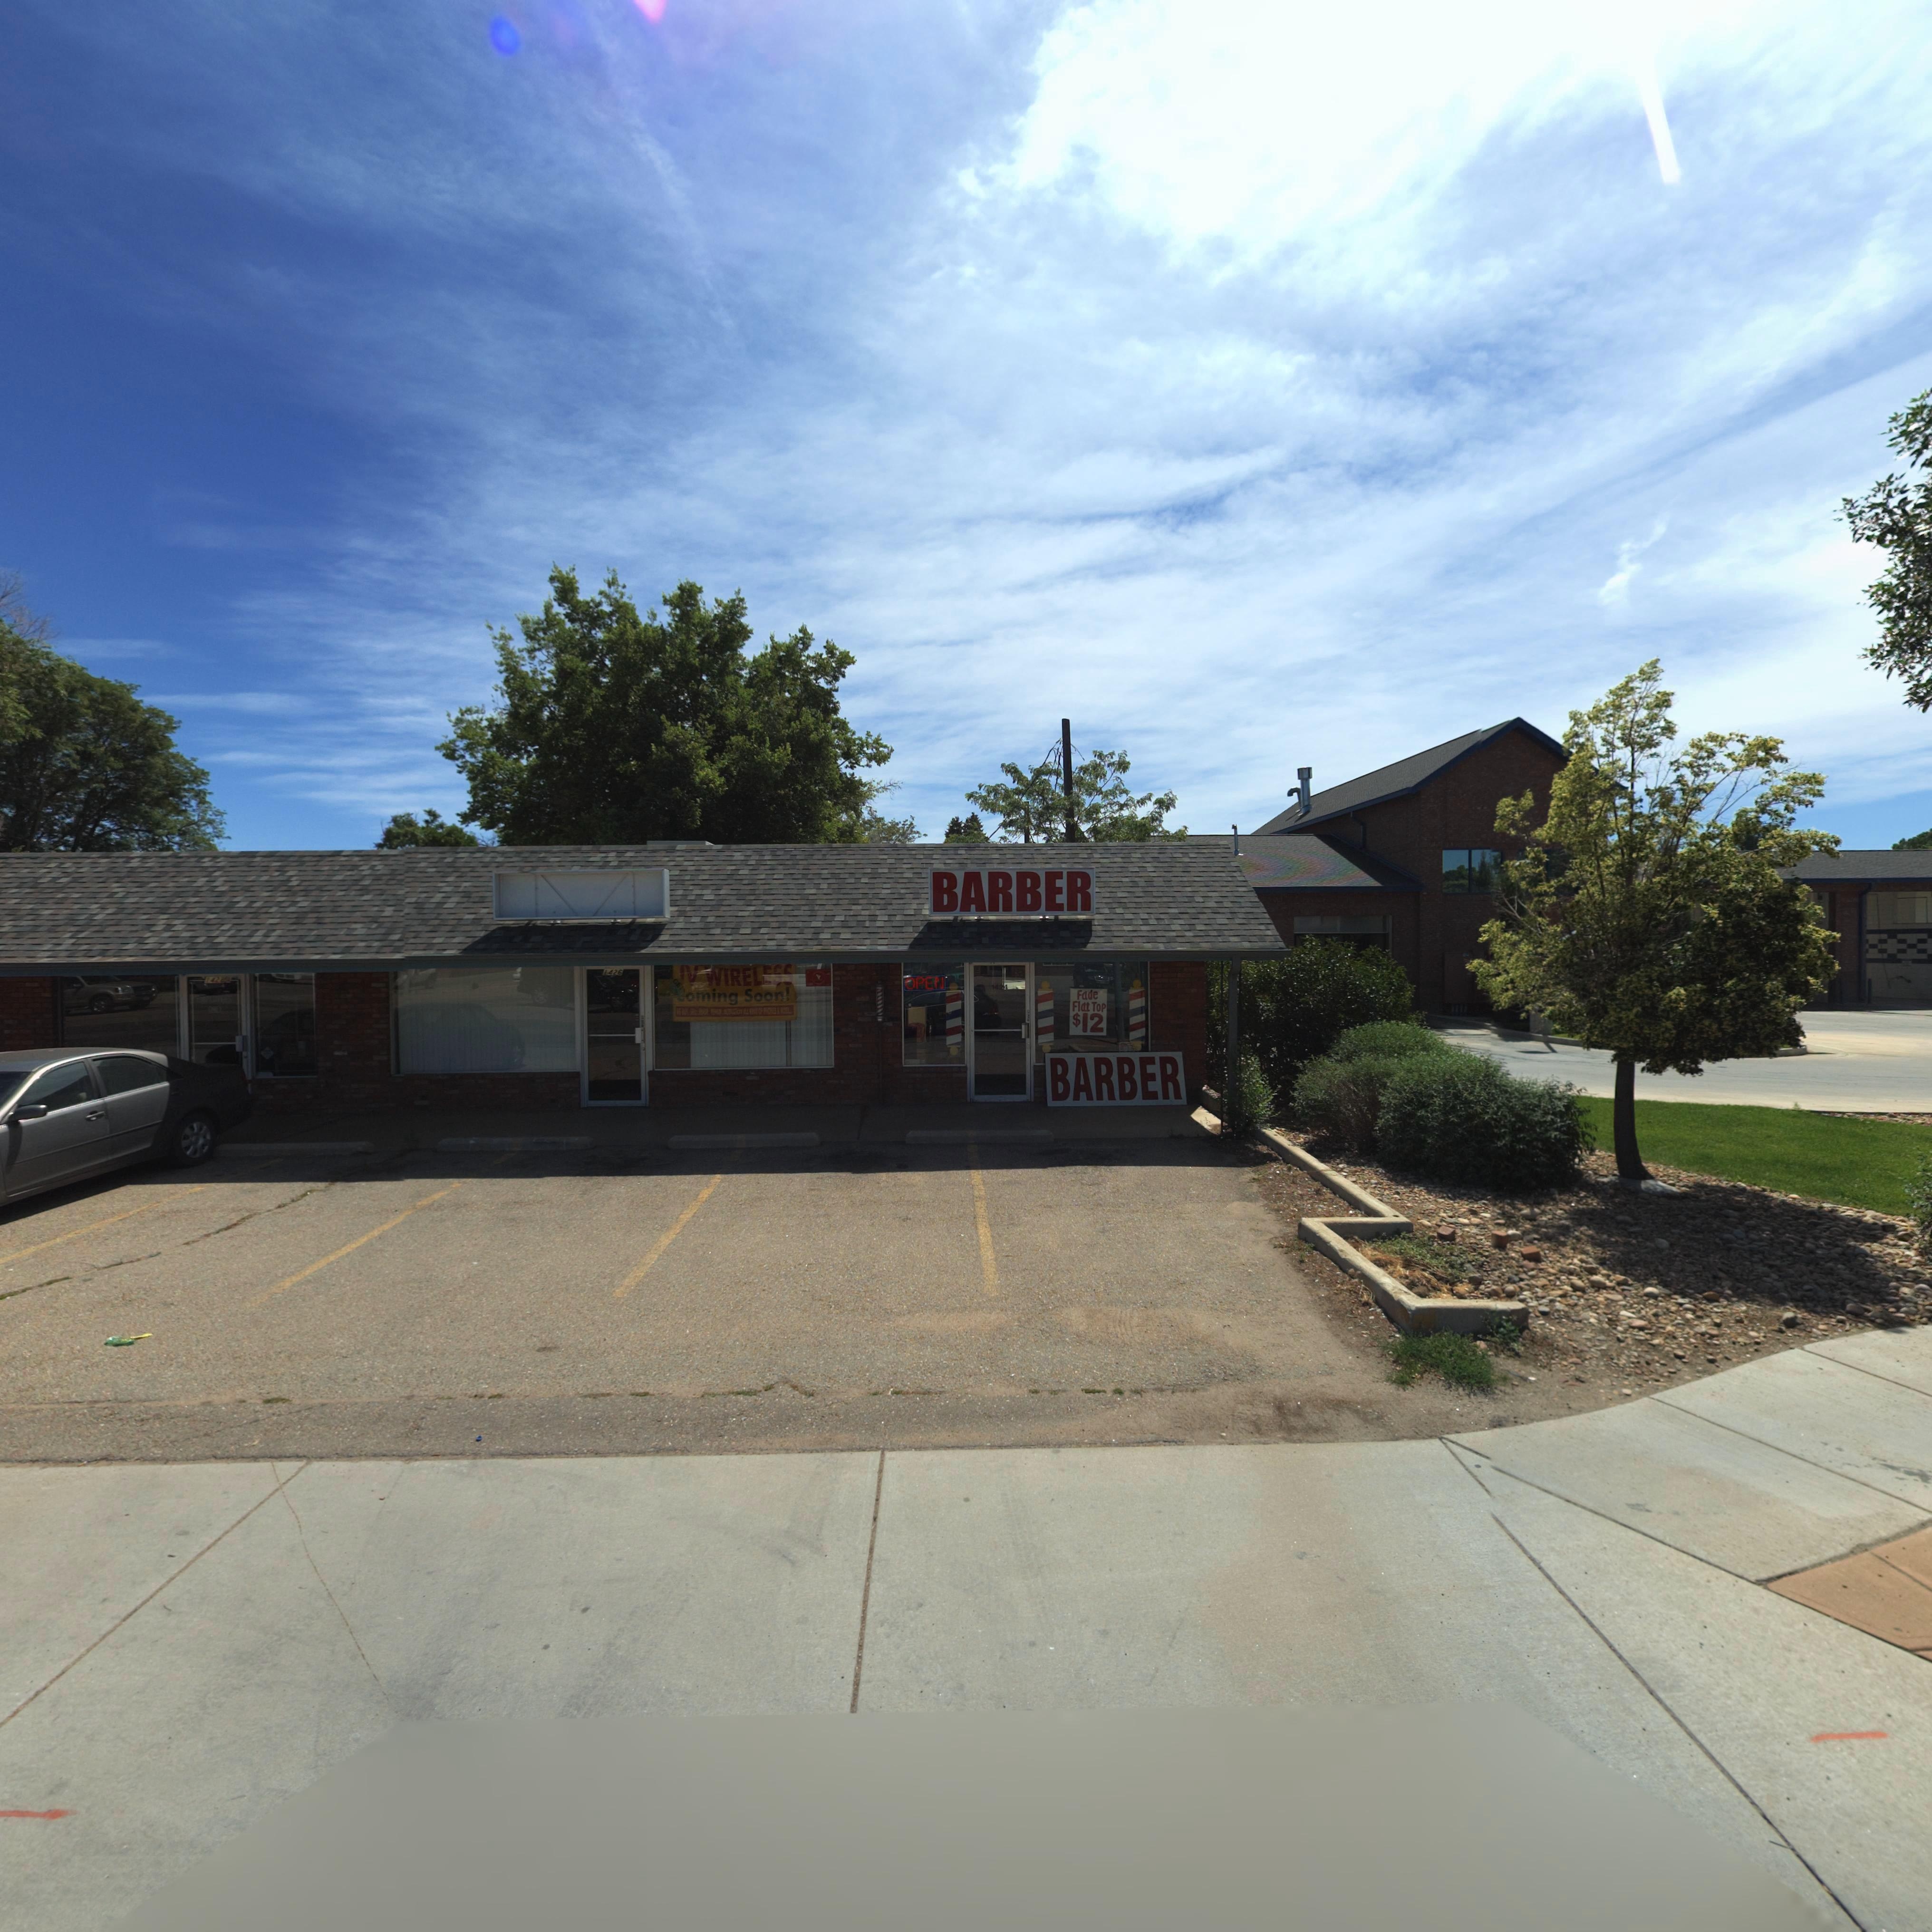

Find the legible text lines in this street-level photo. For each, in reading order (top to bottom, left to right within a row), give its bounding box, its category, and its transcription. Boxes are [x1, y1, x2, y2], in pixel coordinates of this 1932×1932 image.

[604, 969, 624, 976] StreetNumber: 1426
[204, 976, 226, 983] StreetNumber: 142*
[905, 975, 944, 990] StreetNumber: 1424